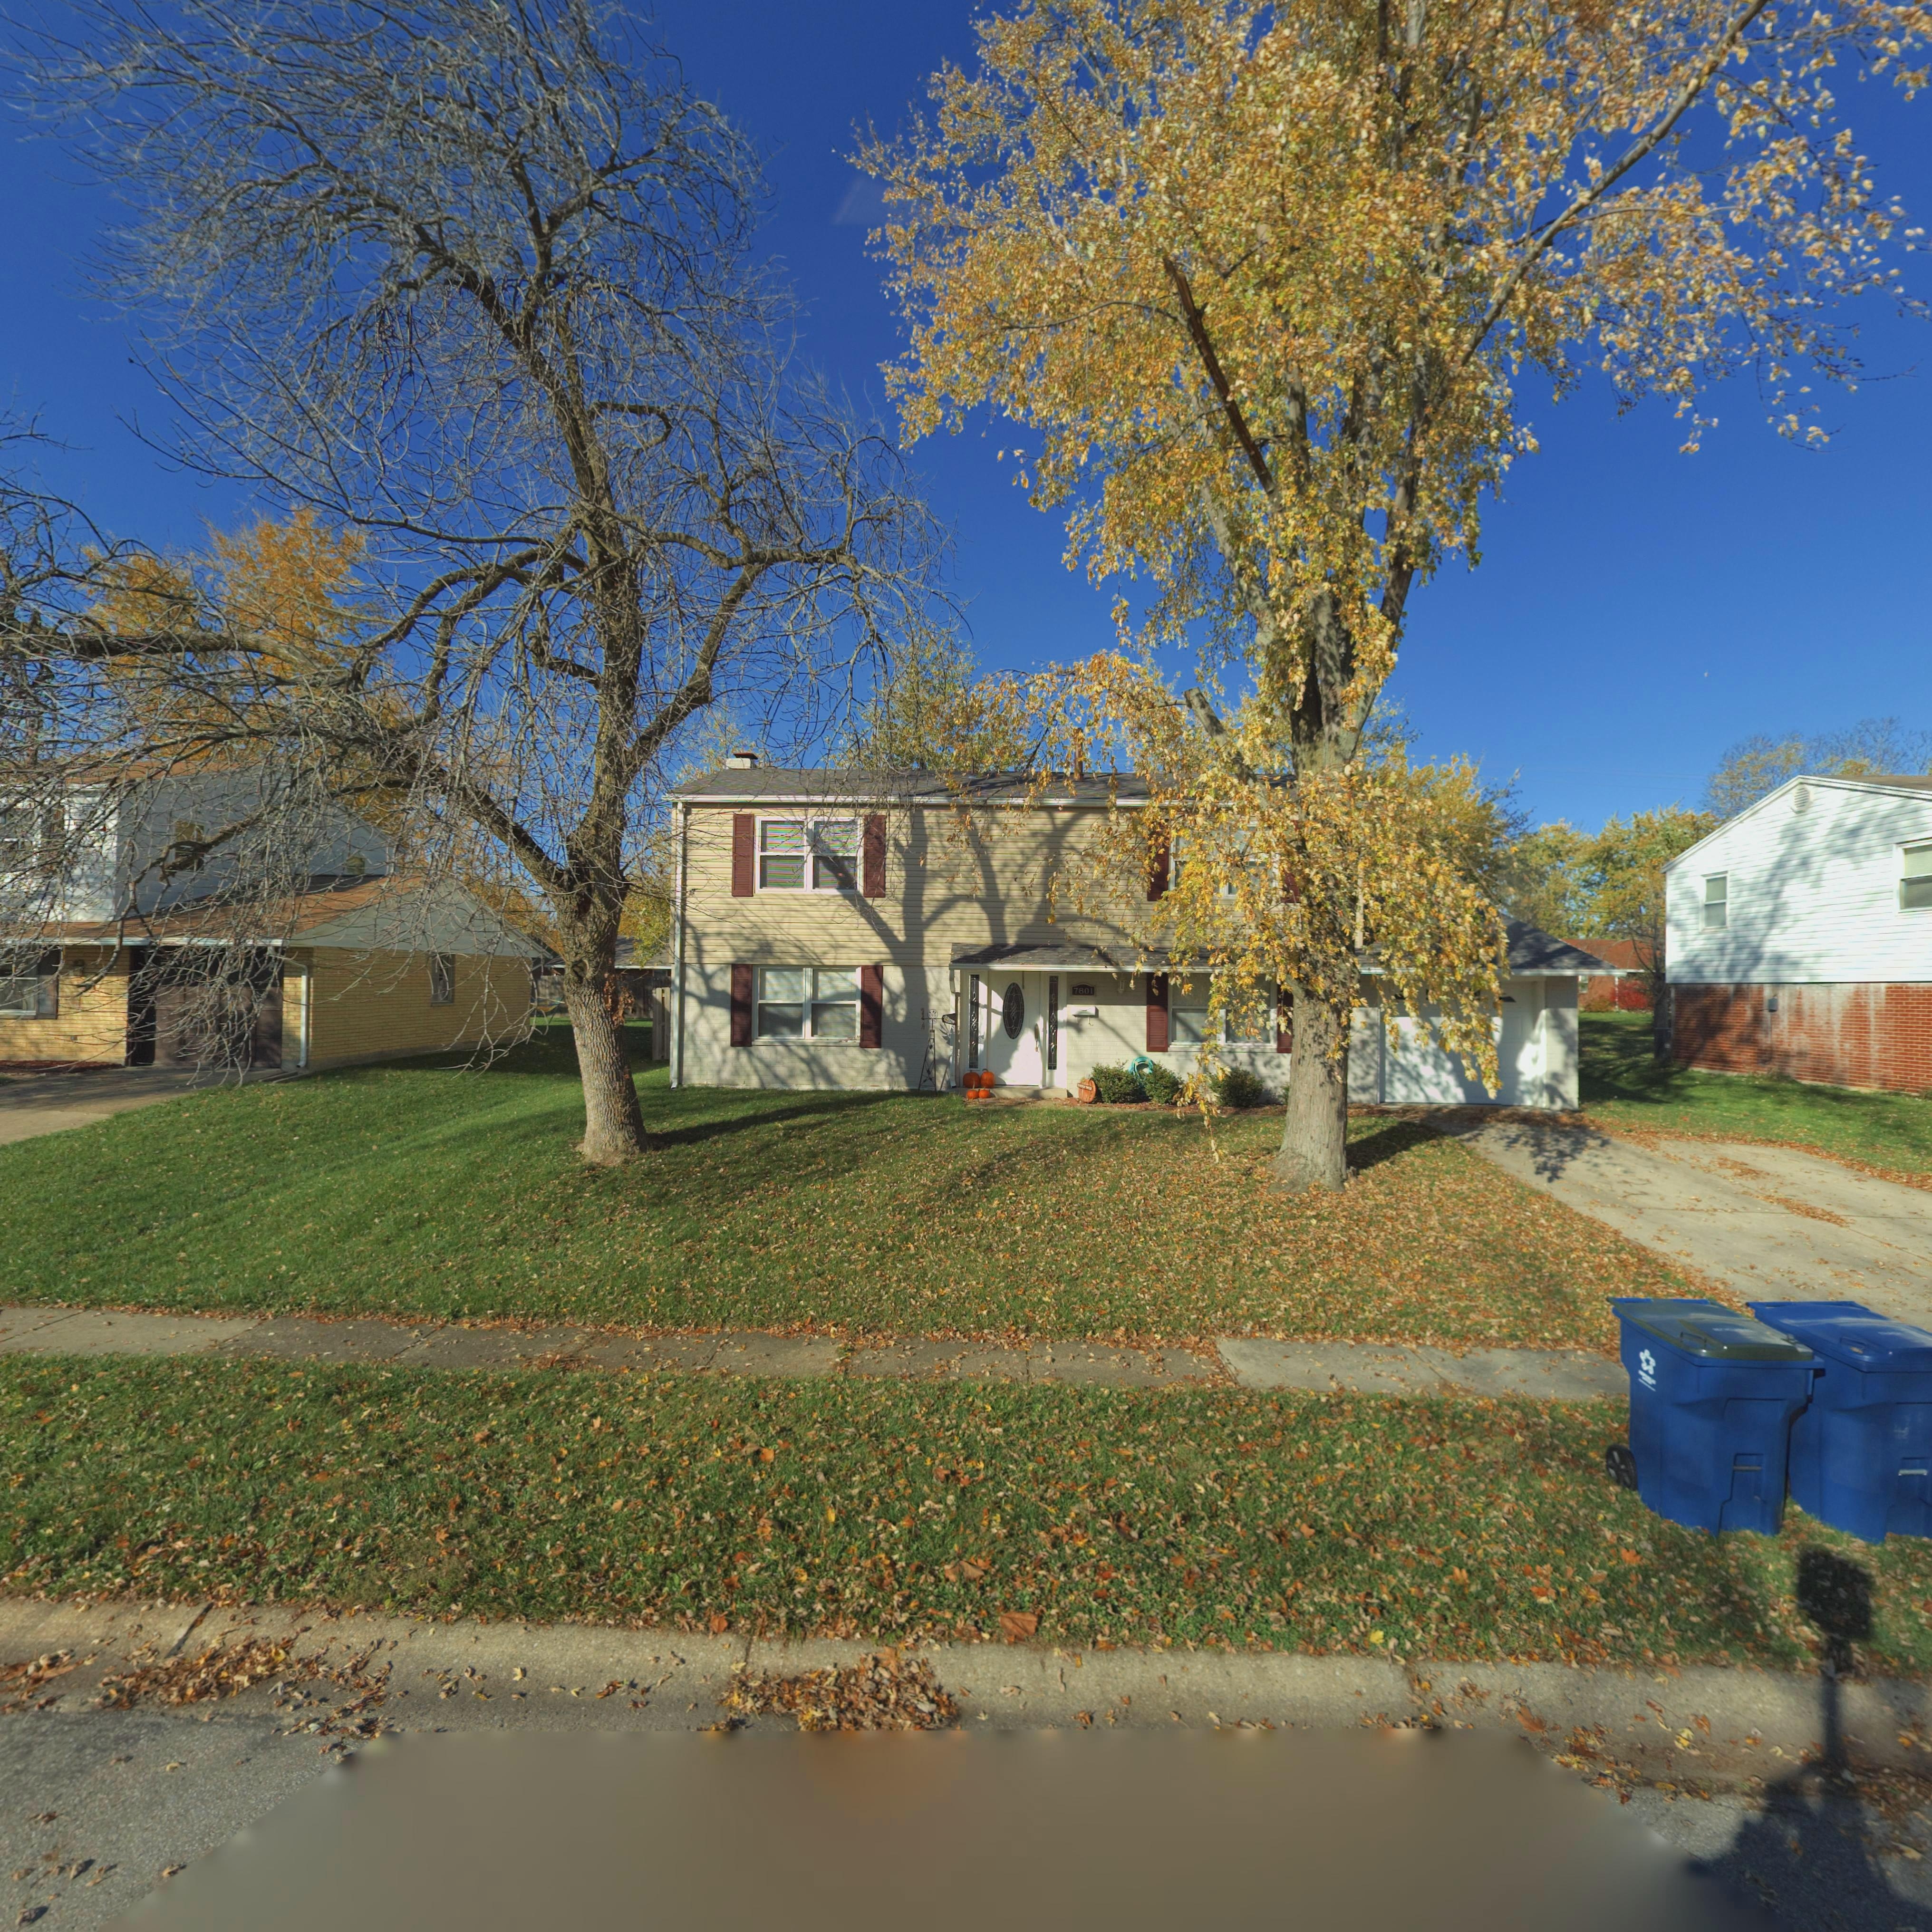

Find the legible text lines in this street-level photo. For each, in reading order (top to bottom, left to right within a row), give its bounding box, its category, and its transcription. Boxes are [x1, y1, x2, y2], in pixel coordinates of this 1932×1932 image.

[1072, 987, 1094, 995] StreetNumber: 7801